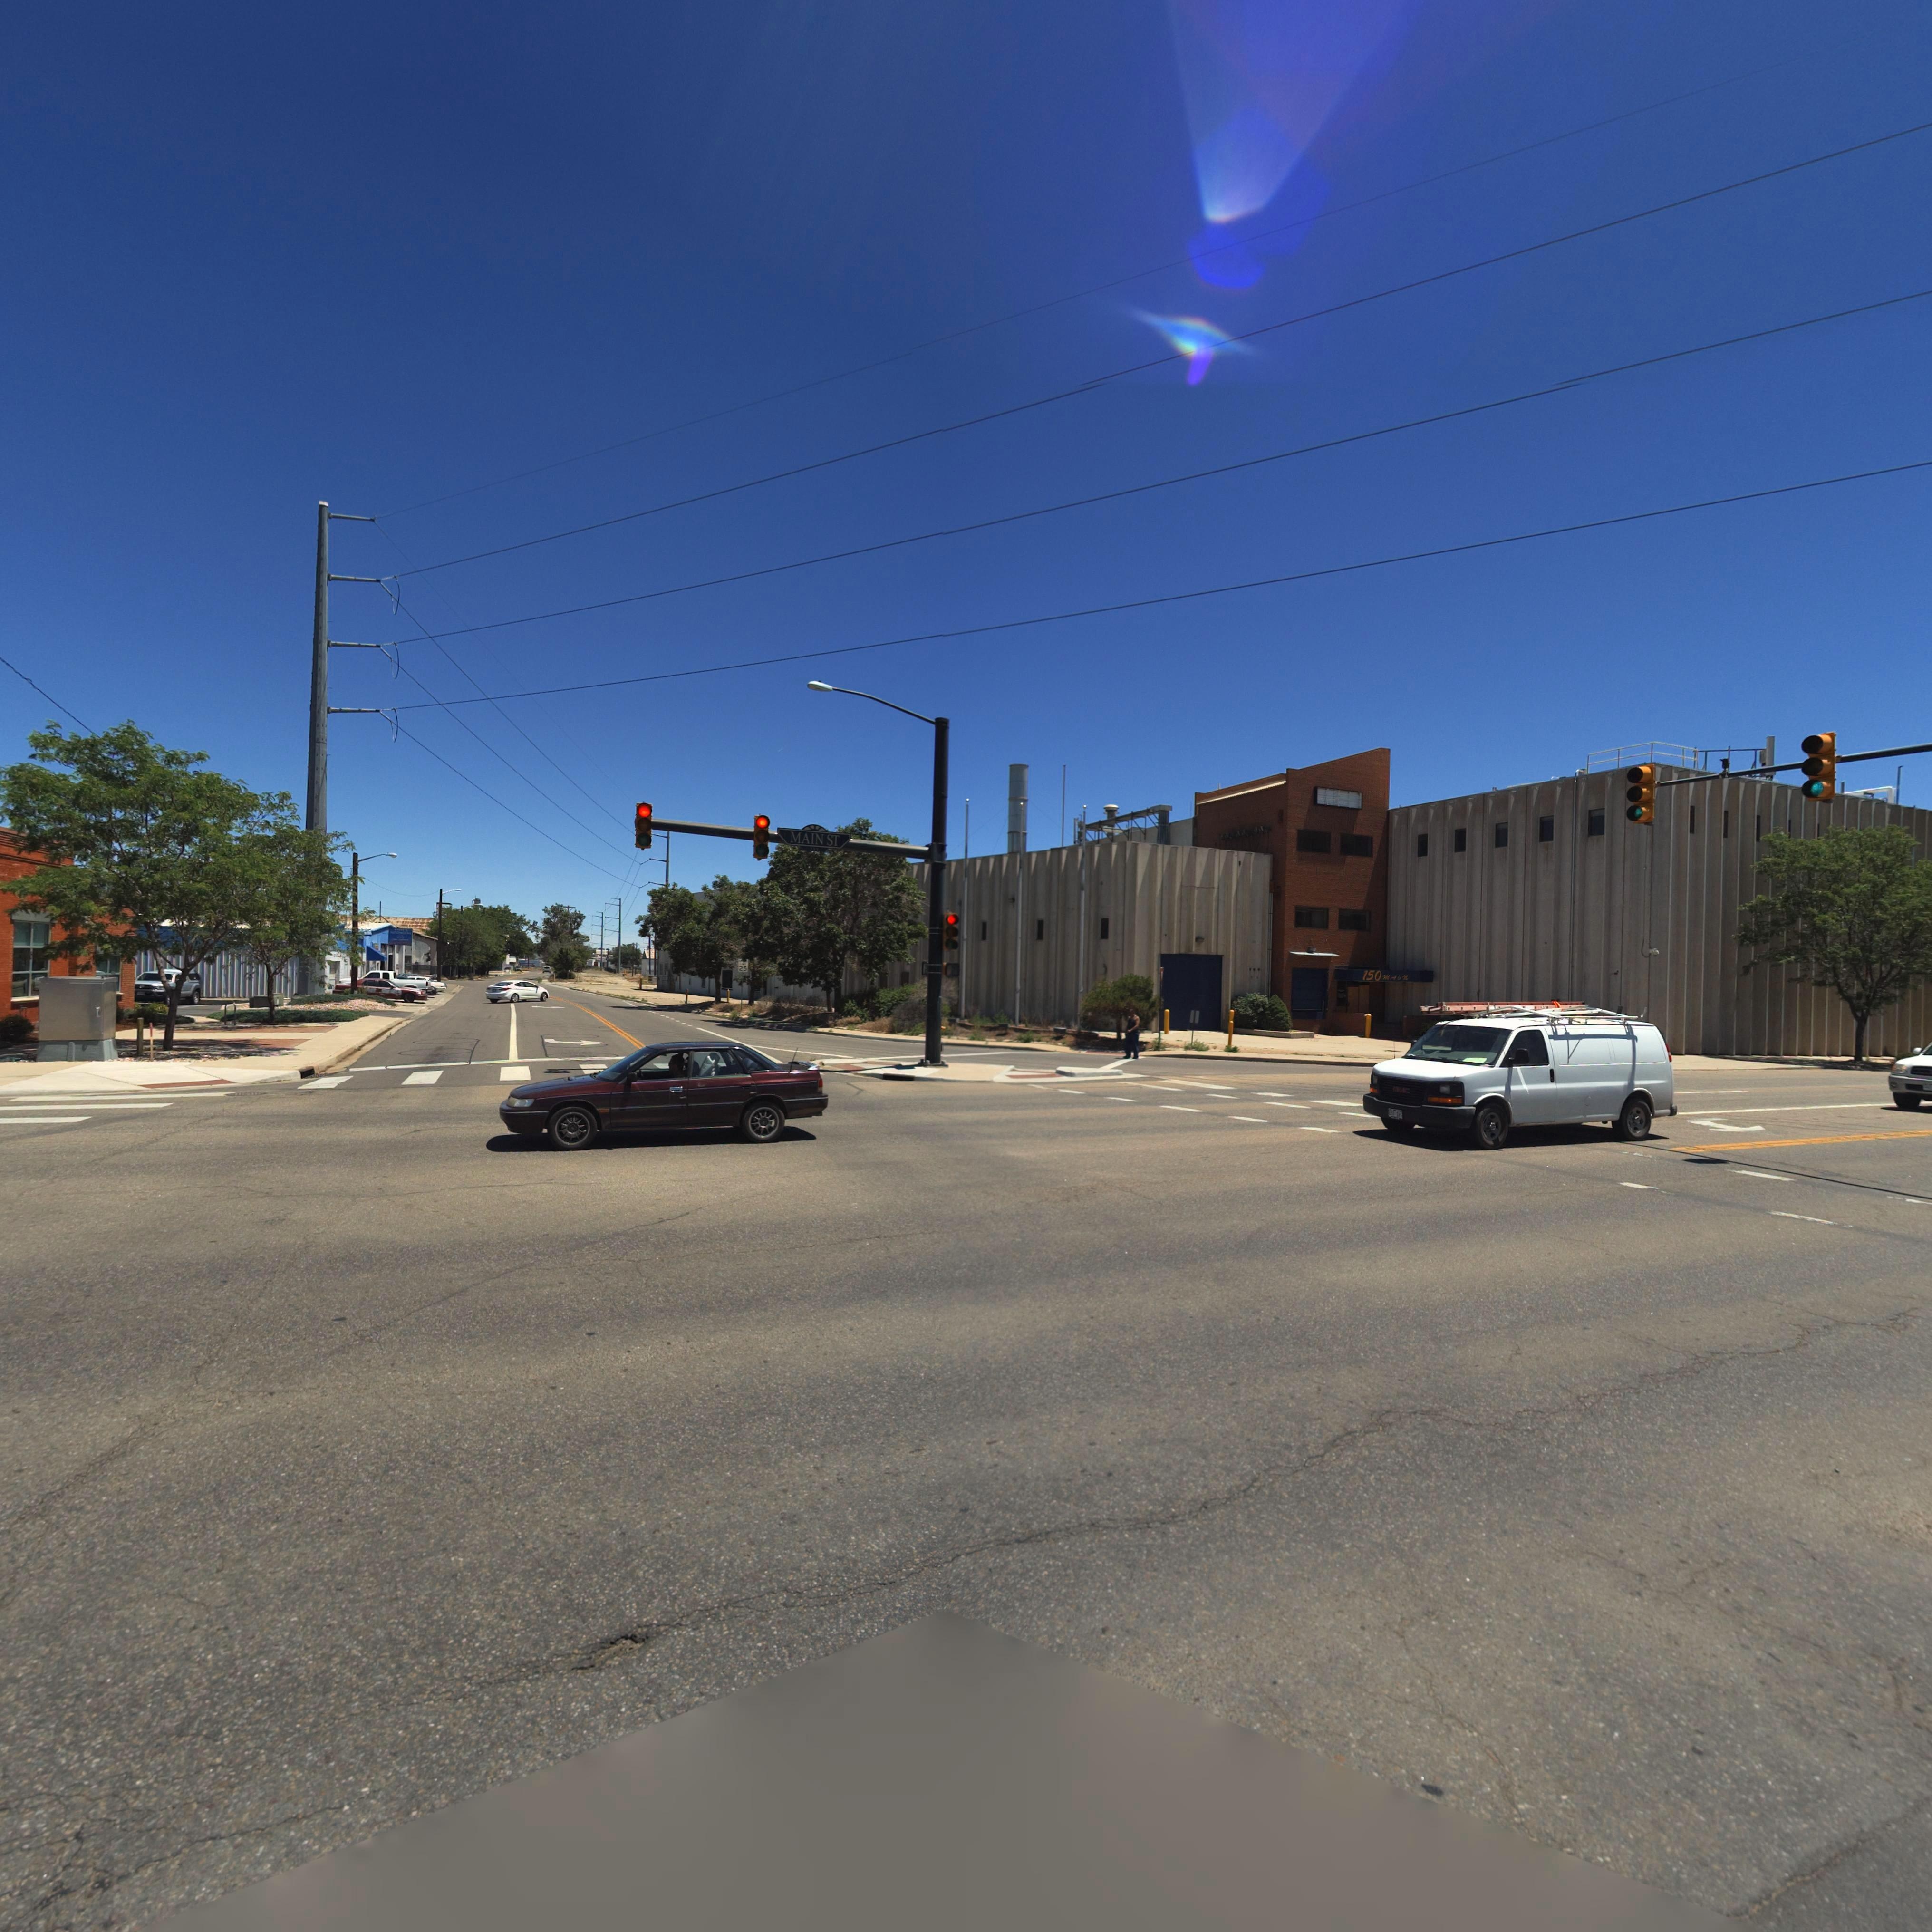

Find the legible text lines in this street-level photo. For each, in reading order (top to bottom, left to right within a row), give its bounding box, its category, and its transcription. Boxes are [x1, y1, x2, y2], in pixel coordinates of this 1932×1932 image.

[790, 831, 840, 846] StreetName: MAIN ST
[1362, 969, 1381, 981] StreetNumber: 150
[1381, 974, 1408, 981] StreetName: MAIn